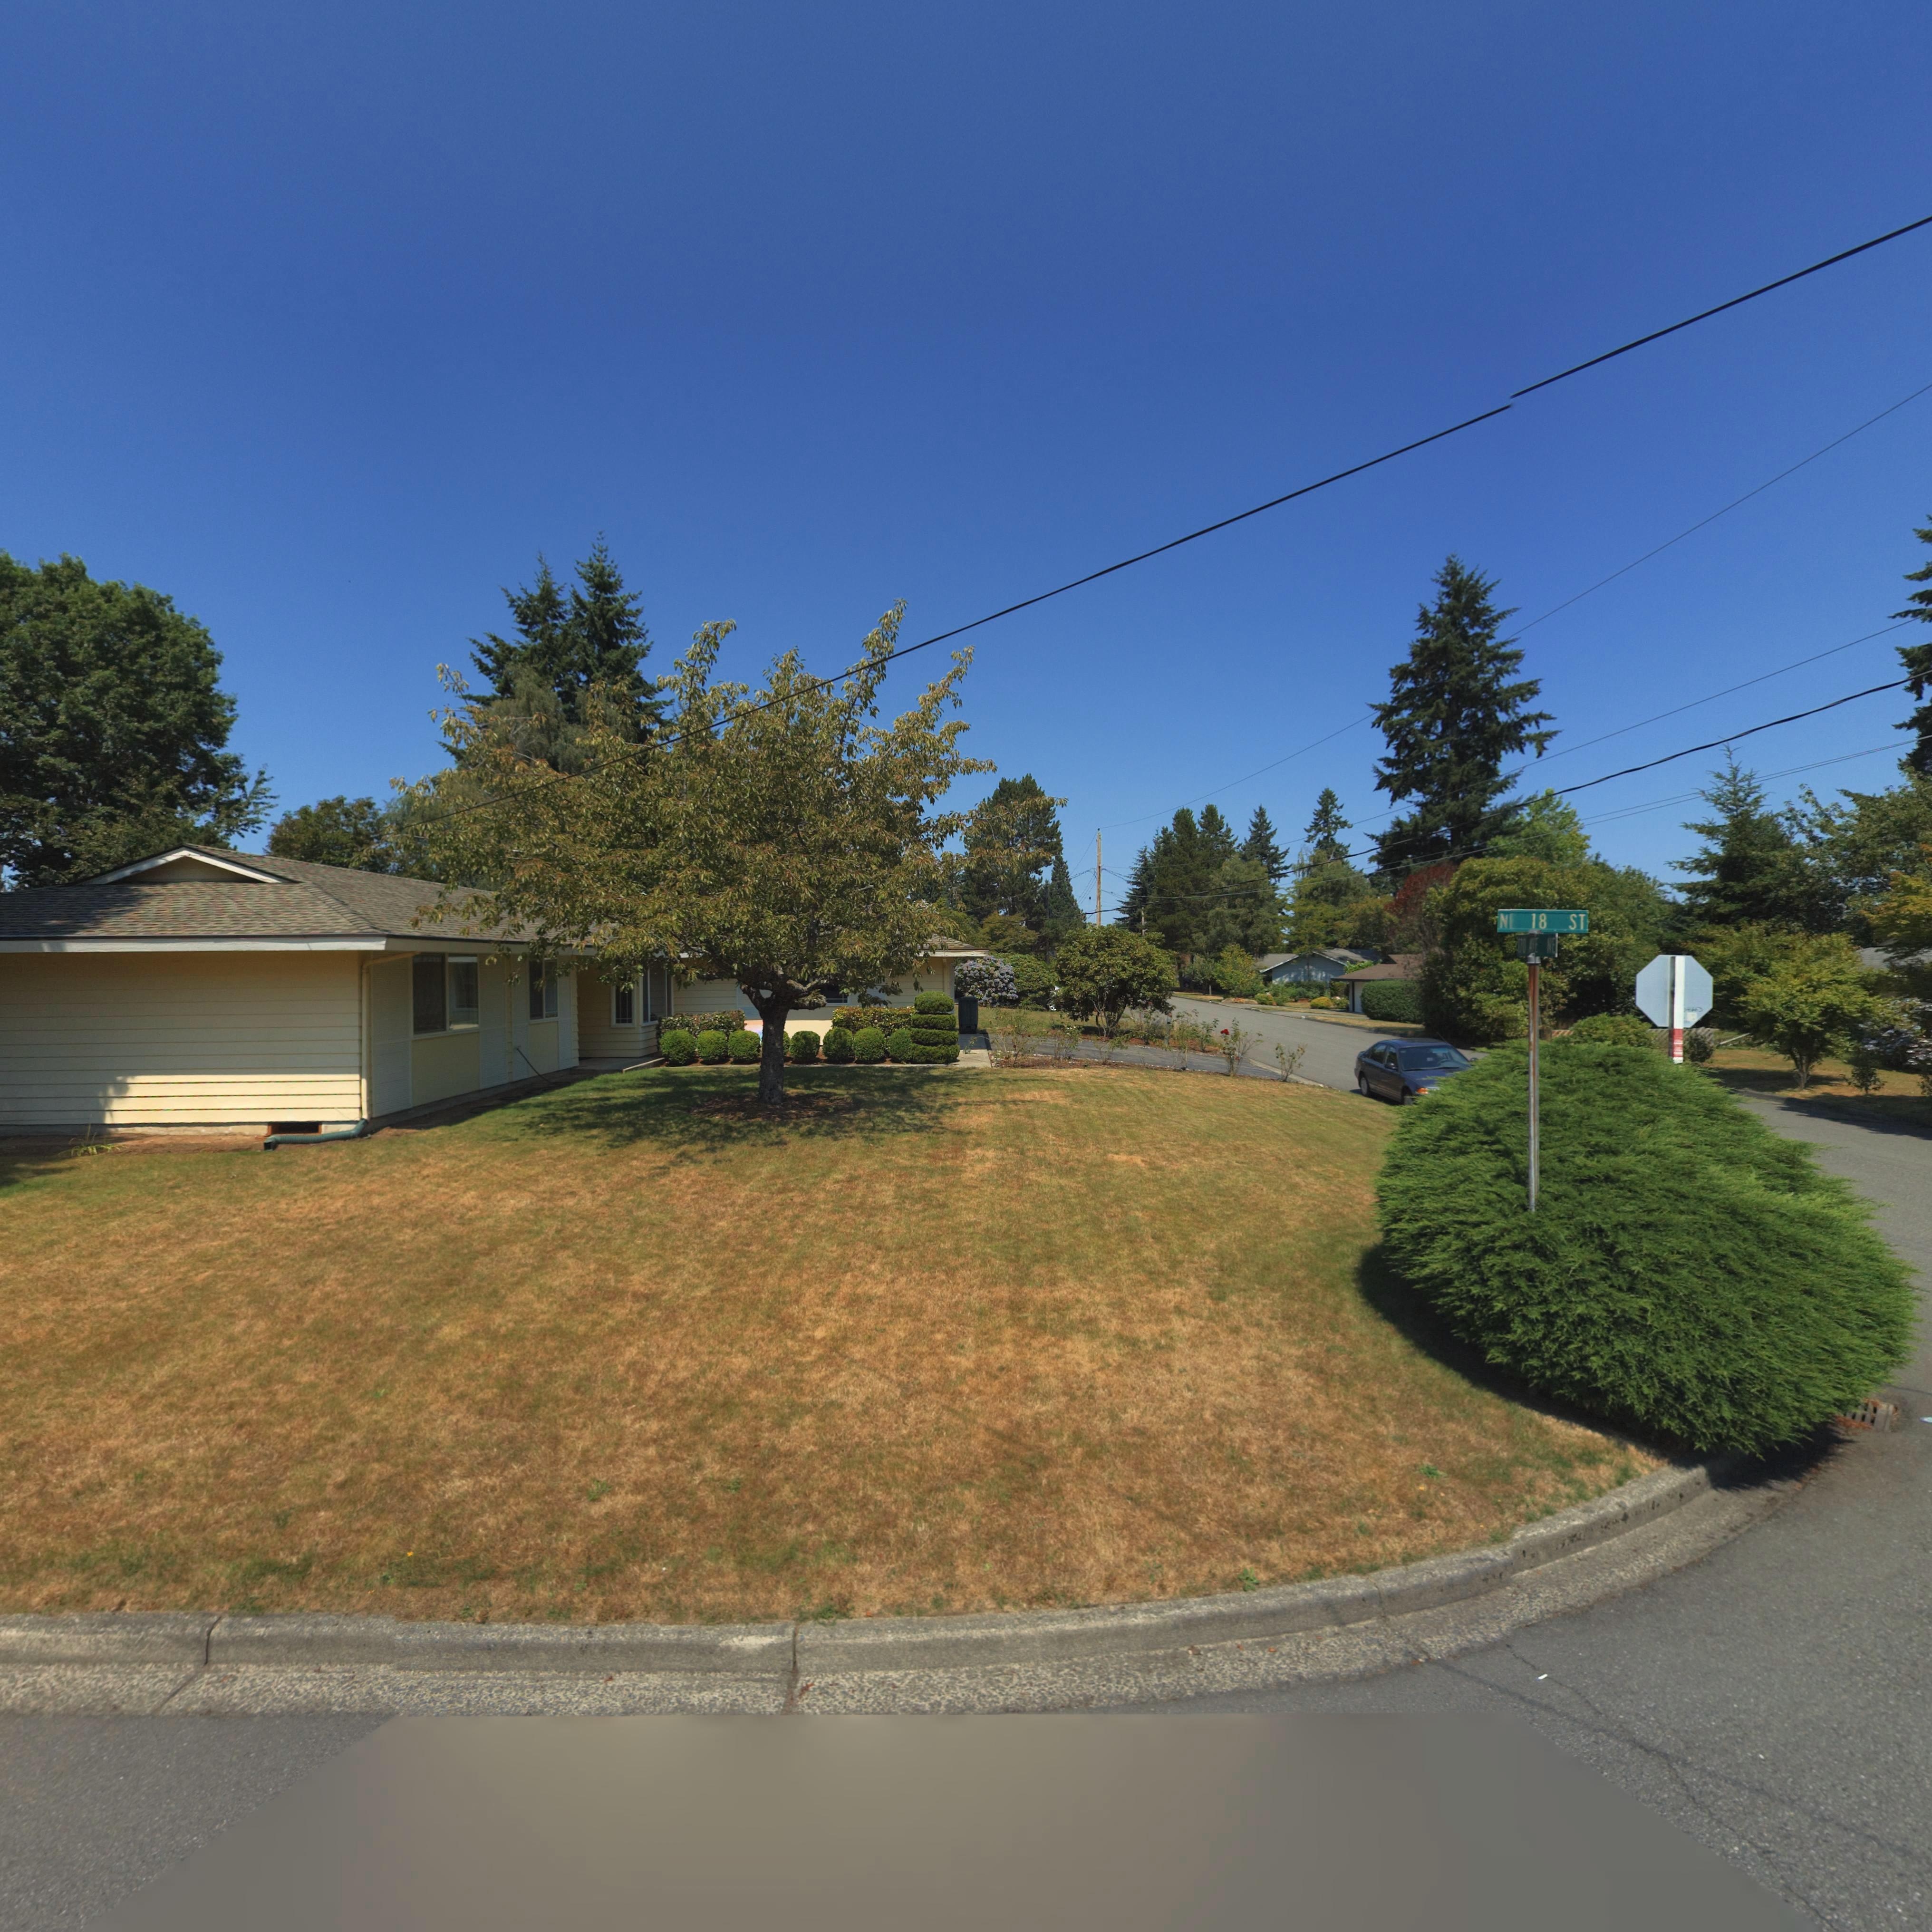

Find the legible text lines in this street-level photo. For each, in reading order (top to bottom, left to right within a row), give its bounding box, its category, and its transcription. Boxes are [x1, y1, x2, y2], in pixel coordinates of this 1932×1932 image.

[1498, 913, 1586, 930] StreetName: N* 18 ST